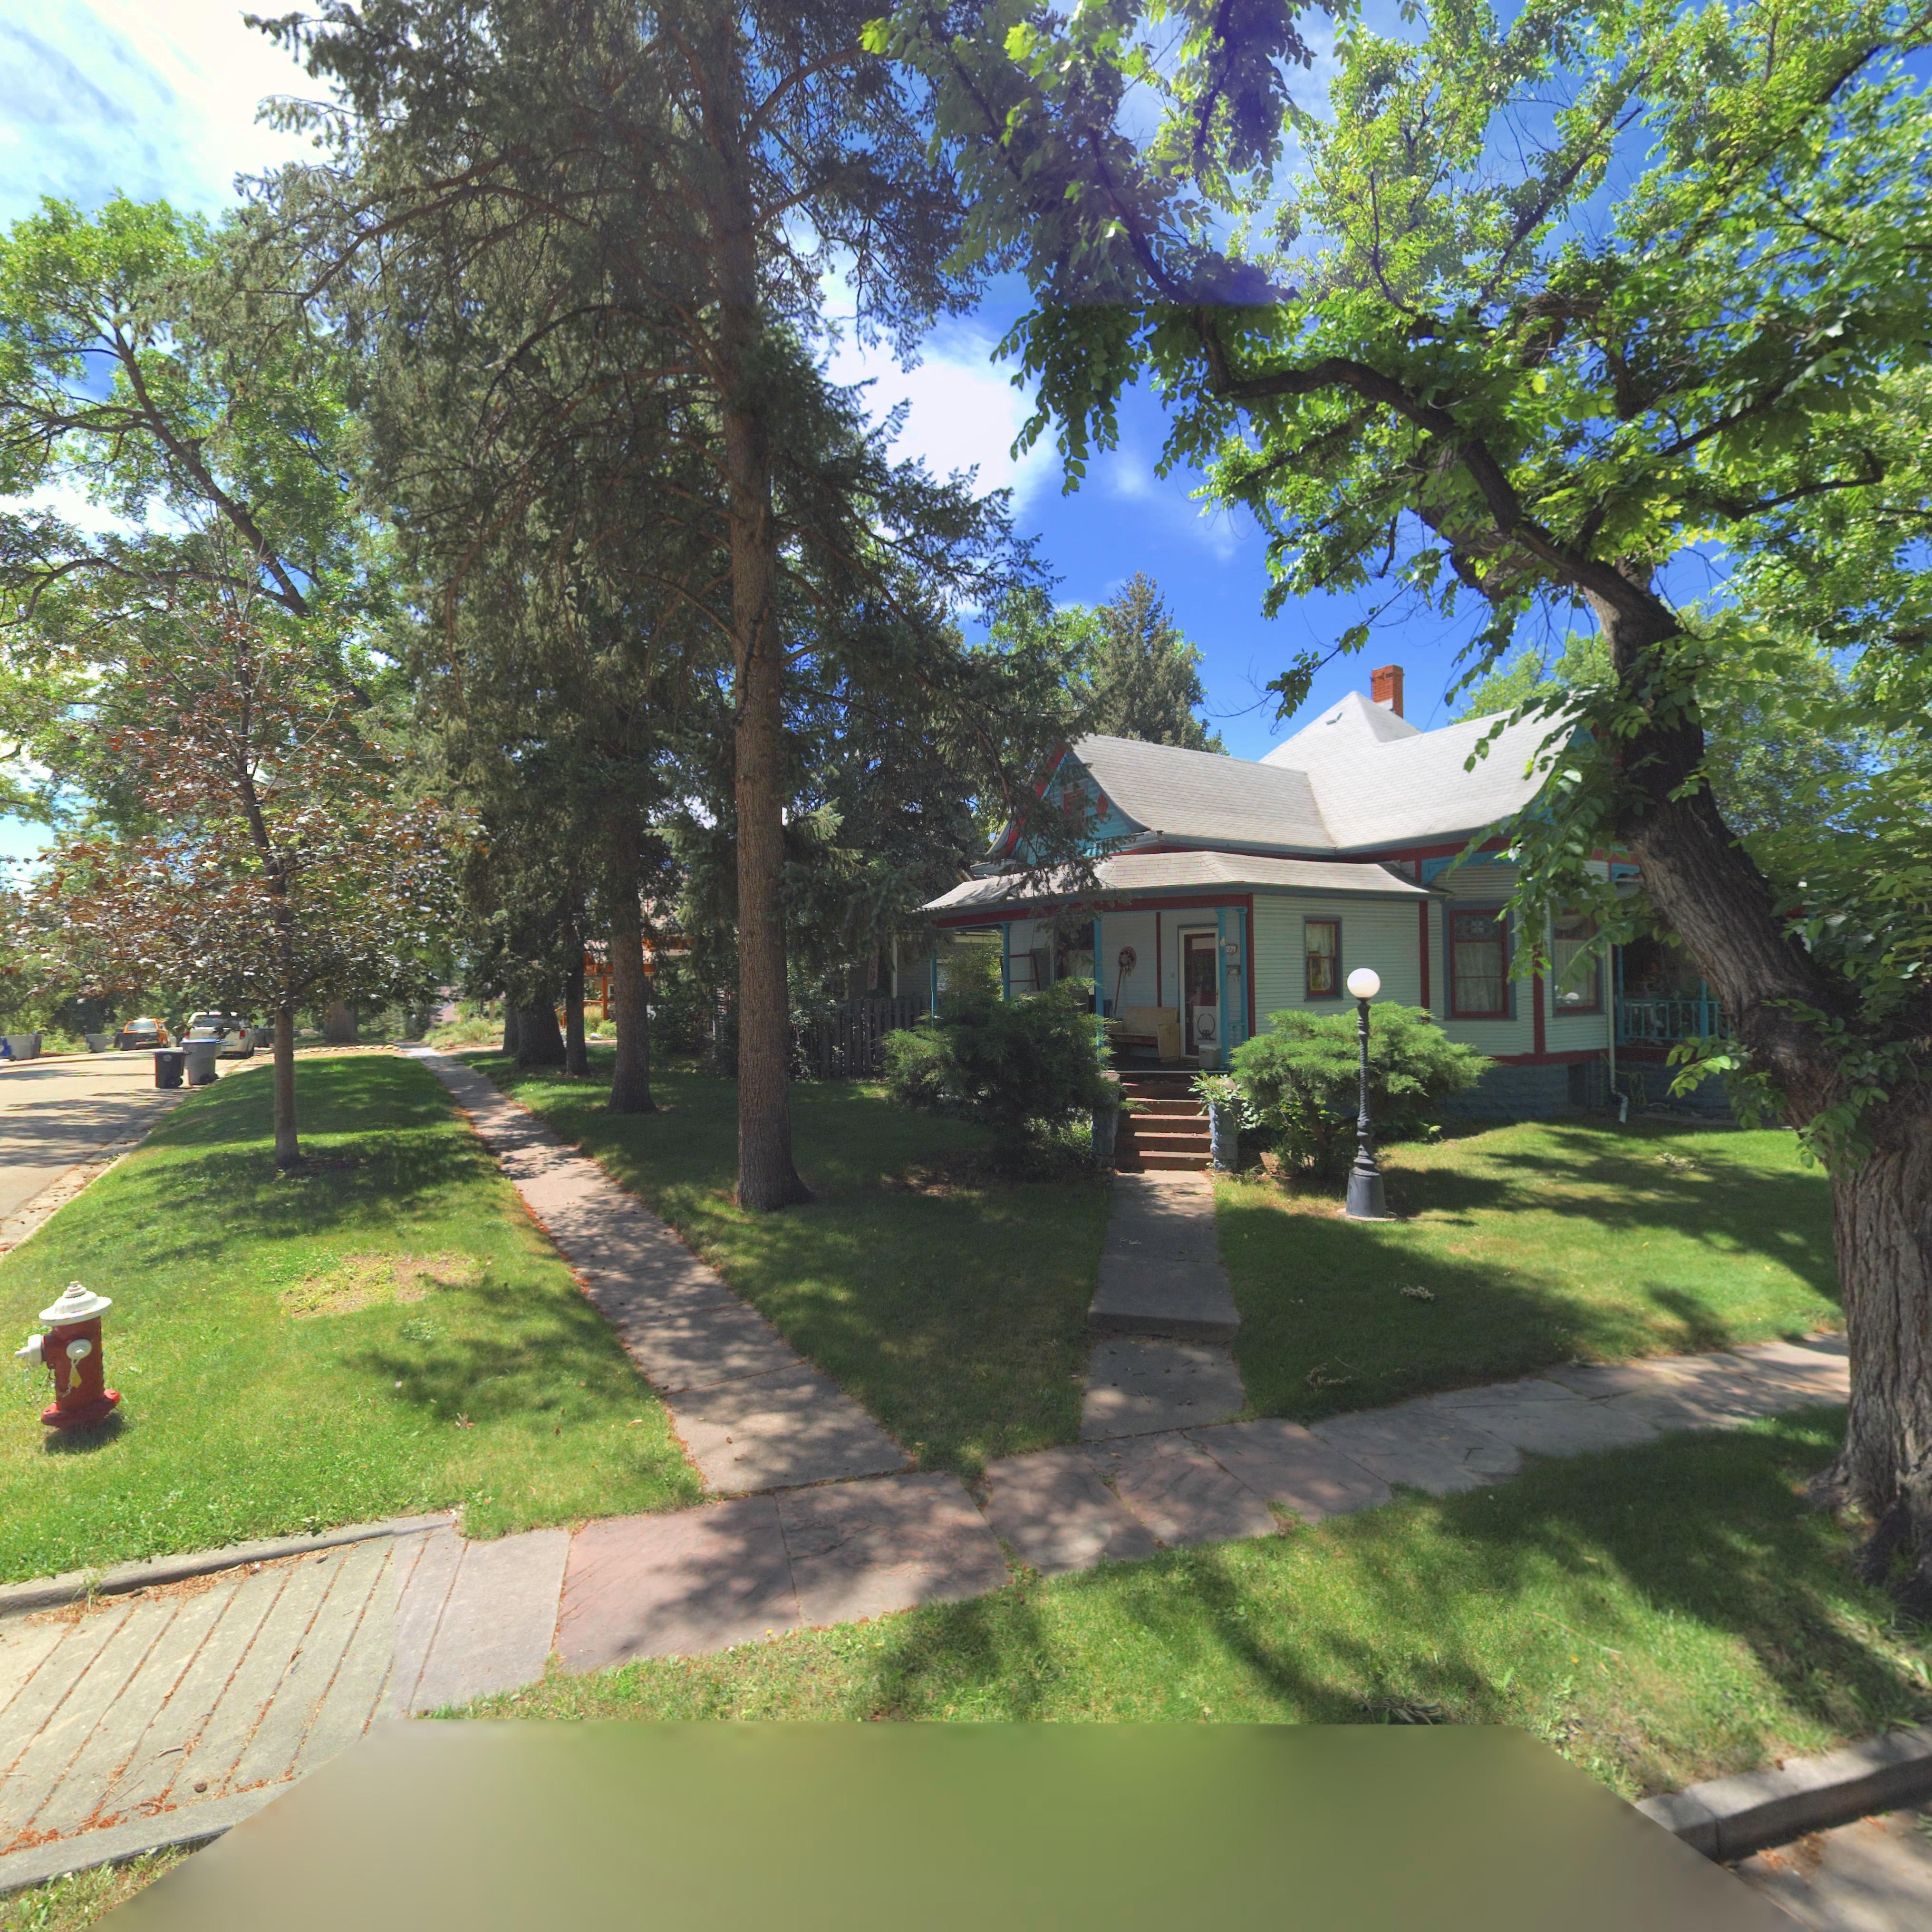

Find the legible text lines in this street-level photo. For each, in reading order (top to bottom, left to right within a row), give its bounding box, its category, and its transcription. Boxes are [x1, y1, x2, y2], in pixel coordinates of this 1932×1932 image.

[1225, 946, 1236, 952] StreetNumber: *271